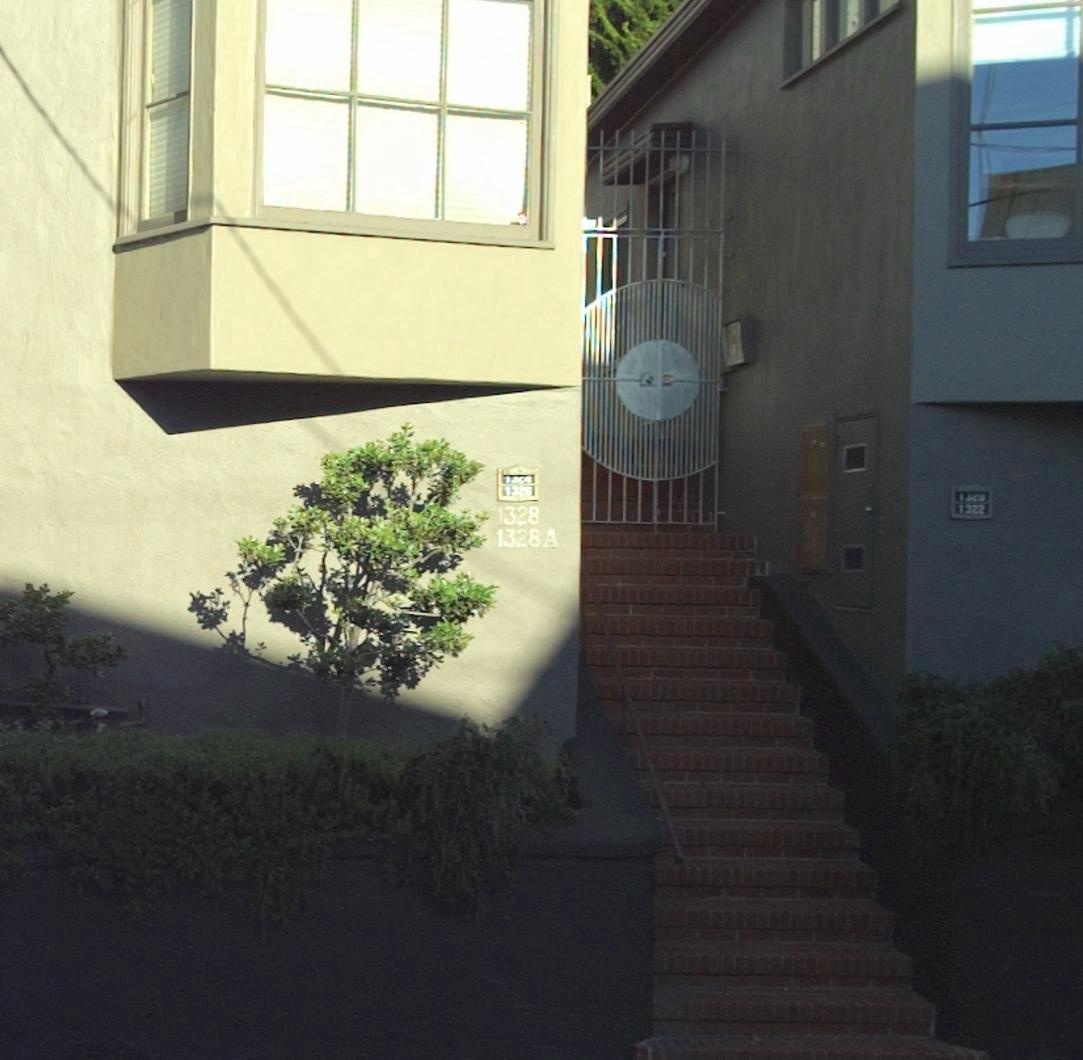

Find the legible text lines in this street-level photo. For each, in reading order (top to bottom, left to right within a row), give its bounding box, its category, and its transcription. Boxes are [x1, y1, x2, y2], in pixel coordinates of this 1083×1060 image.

[504, 474, 533, 485] StreetNumber: 1324
[503, 485, 533, 497] StreetNumber: 1326
[958, 492, 987, 503] StreetNumber: 1320
[496, 504, 541, 528] StreetNumber: 1328
[958, 504, 986, 516] StreetNumber: 1322
[495, 528, 561, 549] StreetNumber: 1328A